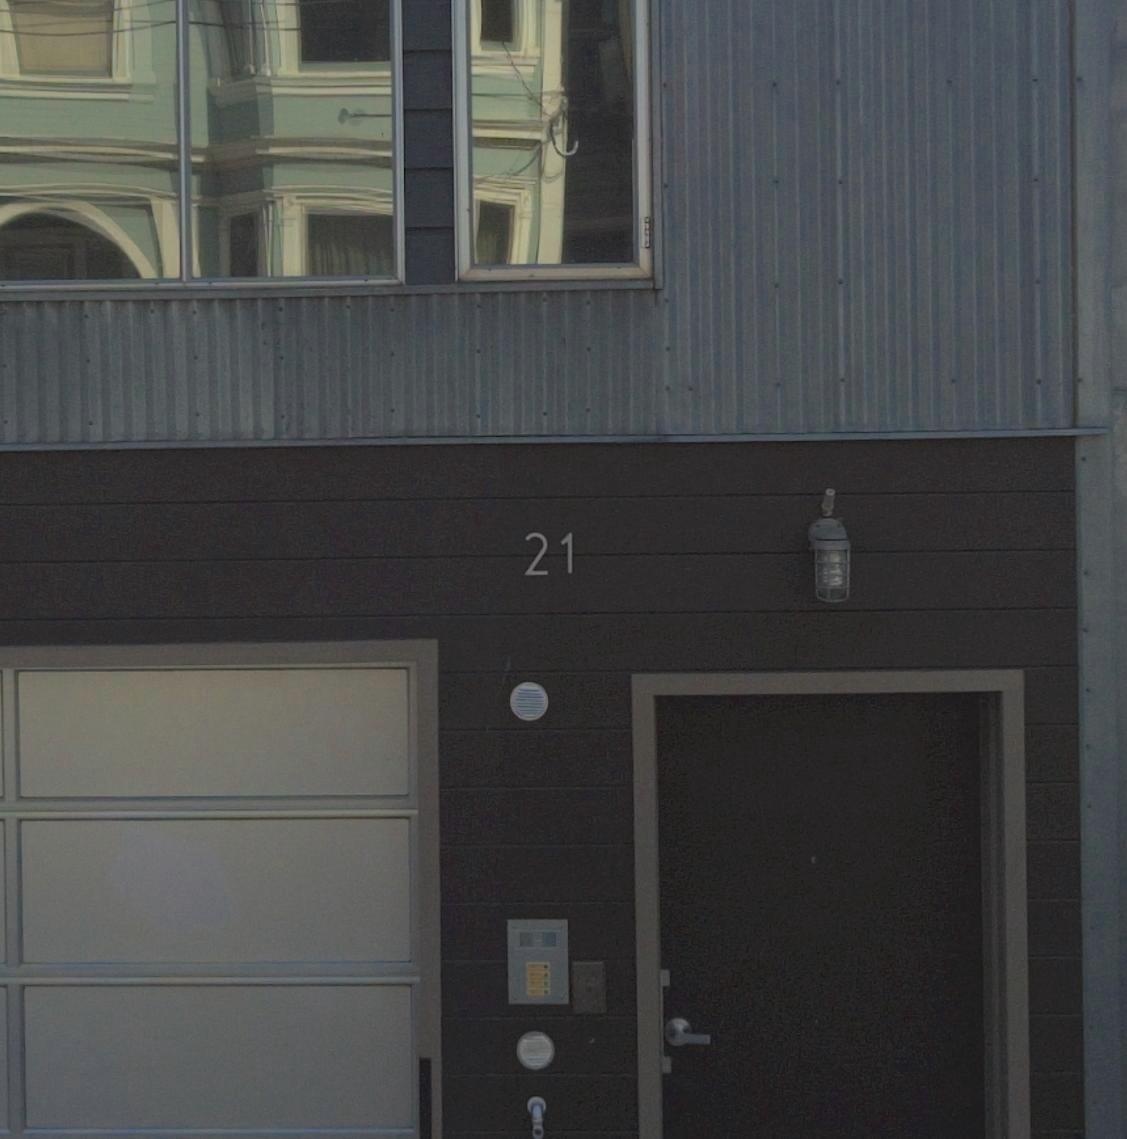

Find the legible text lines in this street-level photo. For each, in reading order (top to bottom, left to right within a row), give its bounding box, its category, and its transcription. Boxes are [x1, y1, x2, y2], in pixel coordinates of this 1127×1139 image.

[519, 527, 580, 581] StreetNumber: 21